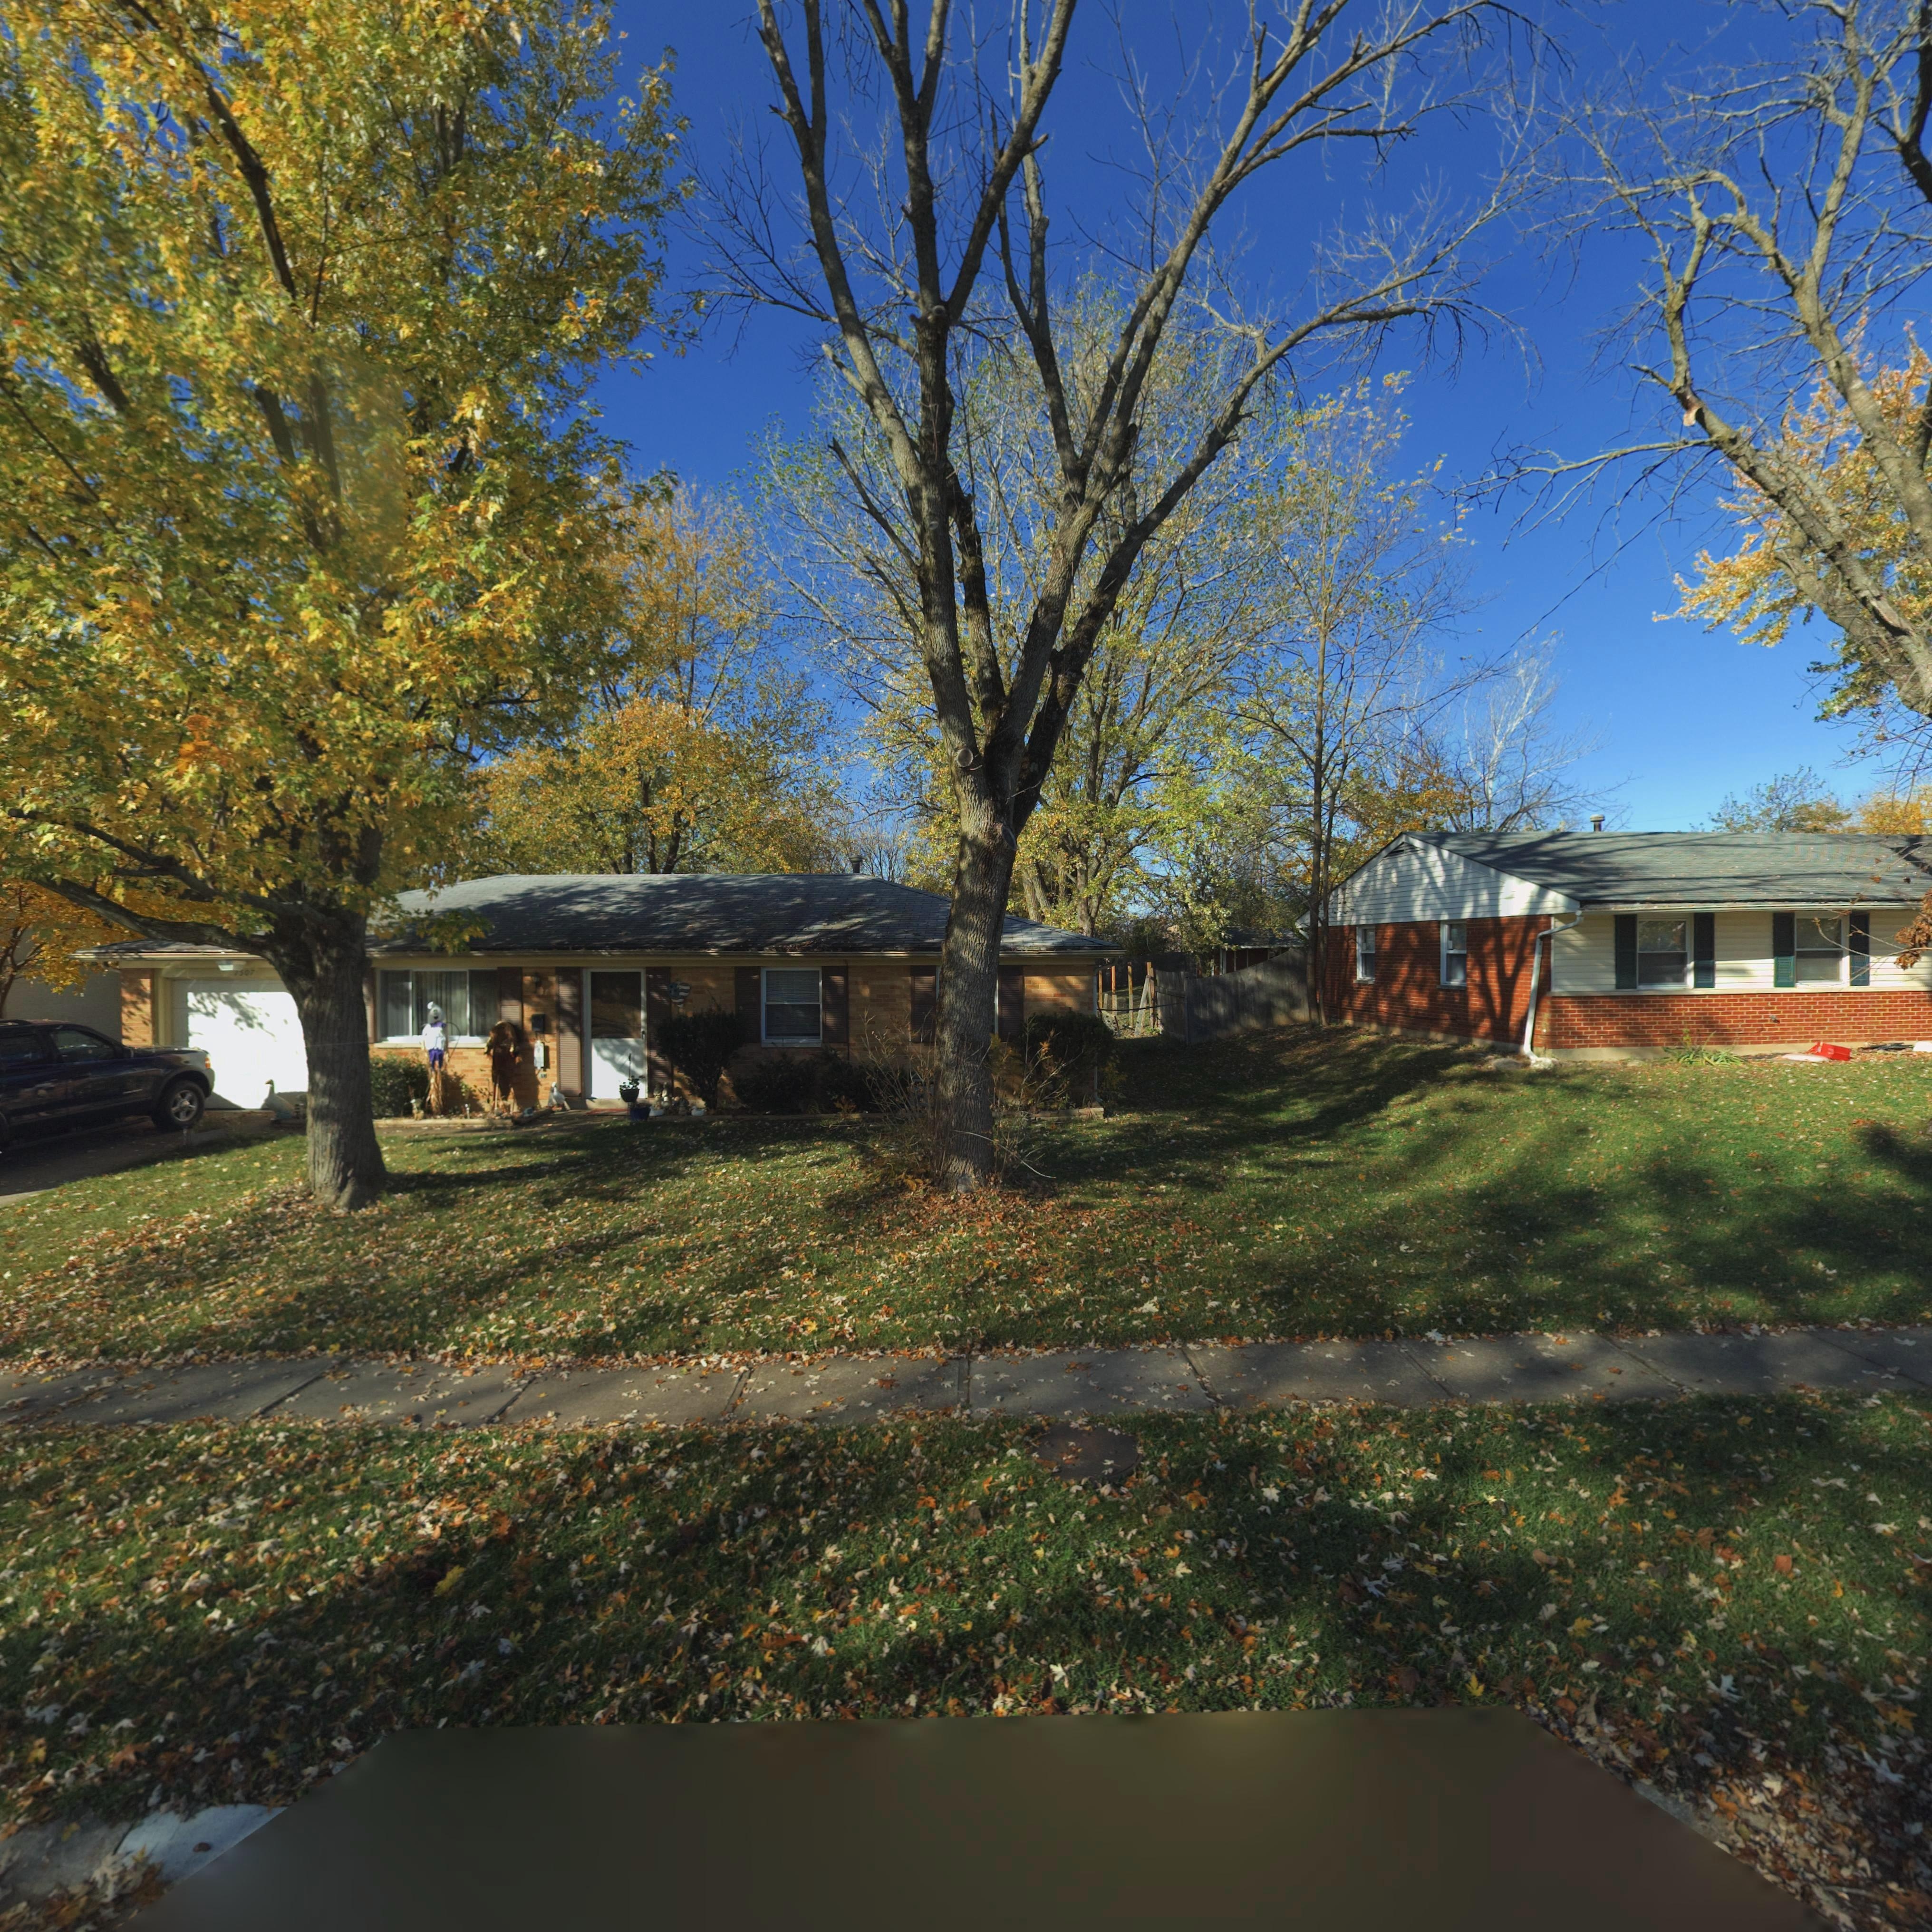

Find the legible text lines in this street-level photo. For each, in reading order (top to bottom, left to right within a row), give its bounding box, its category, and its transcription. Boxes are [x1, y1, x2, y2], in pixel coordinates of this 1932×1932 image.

[232, 968, 257, 977] StreetNumber: **07